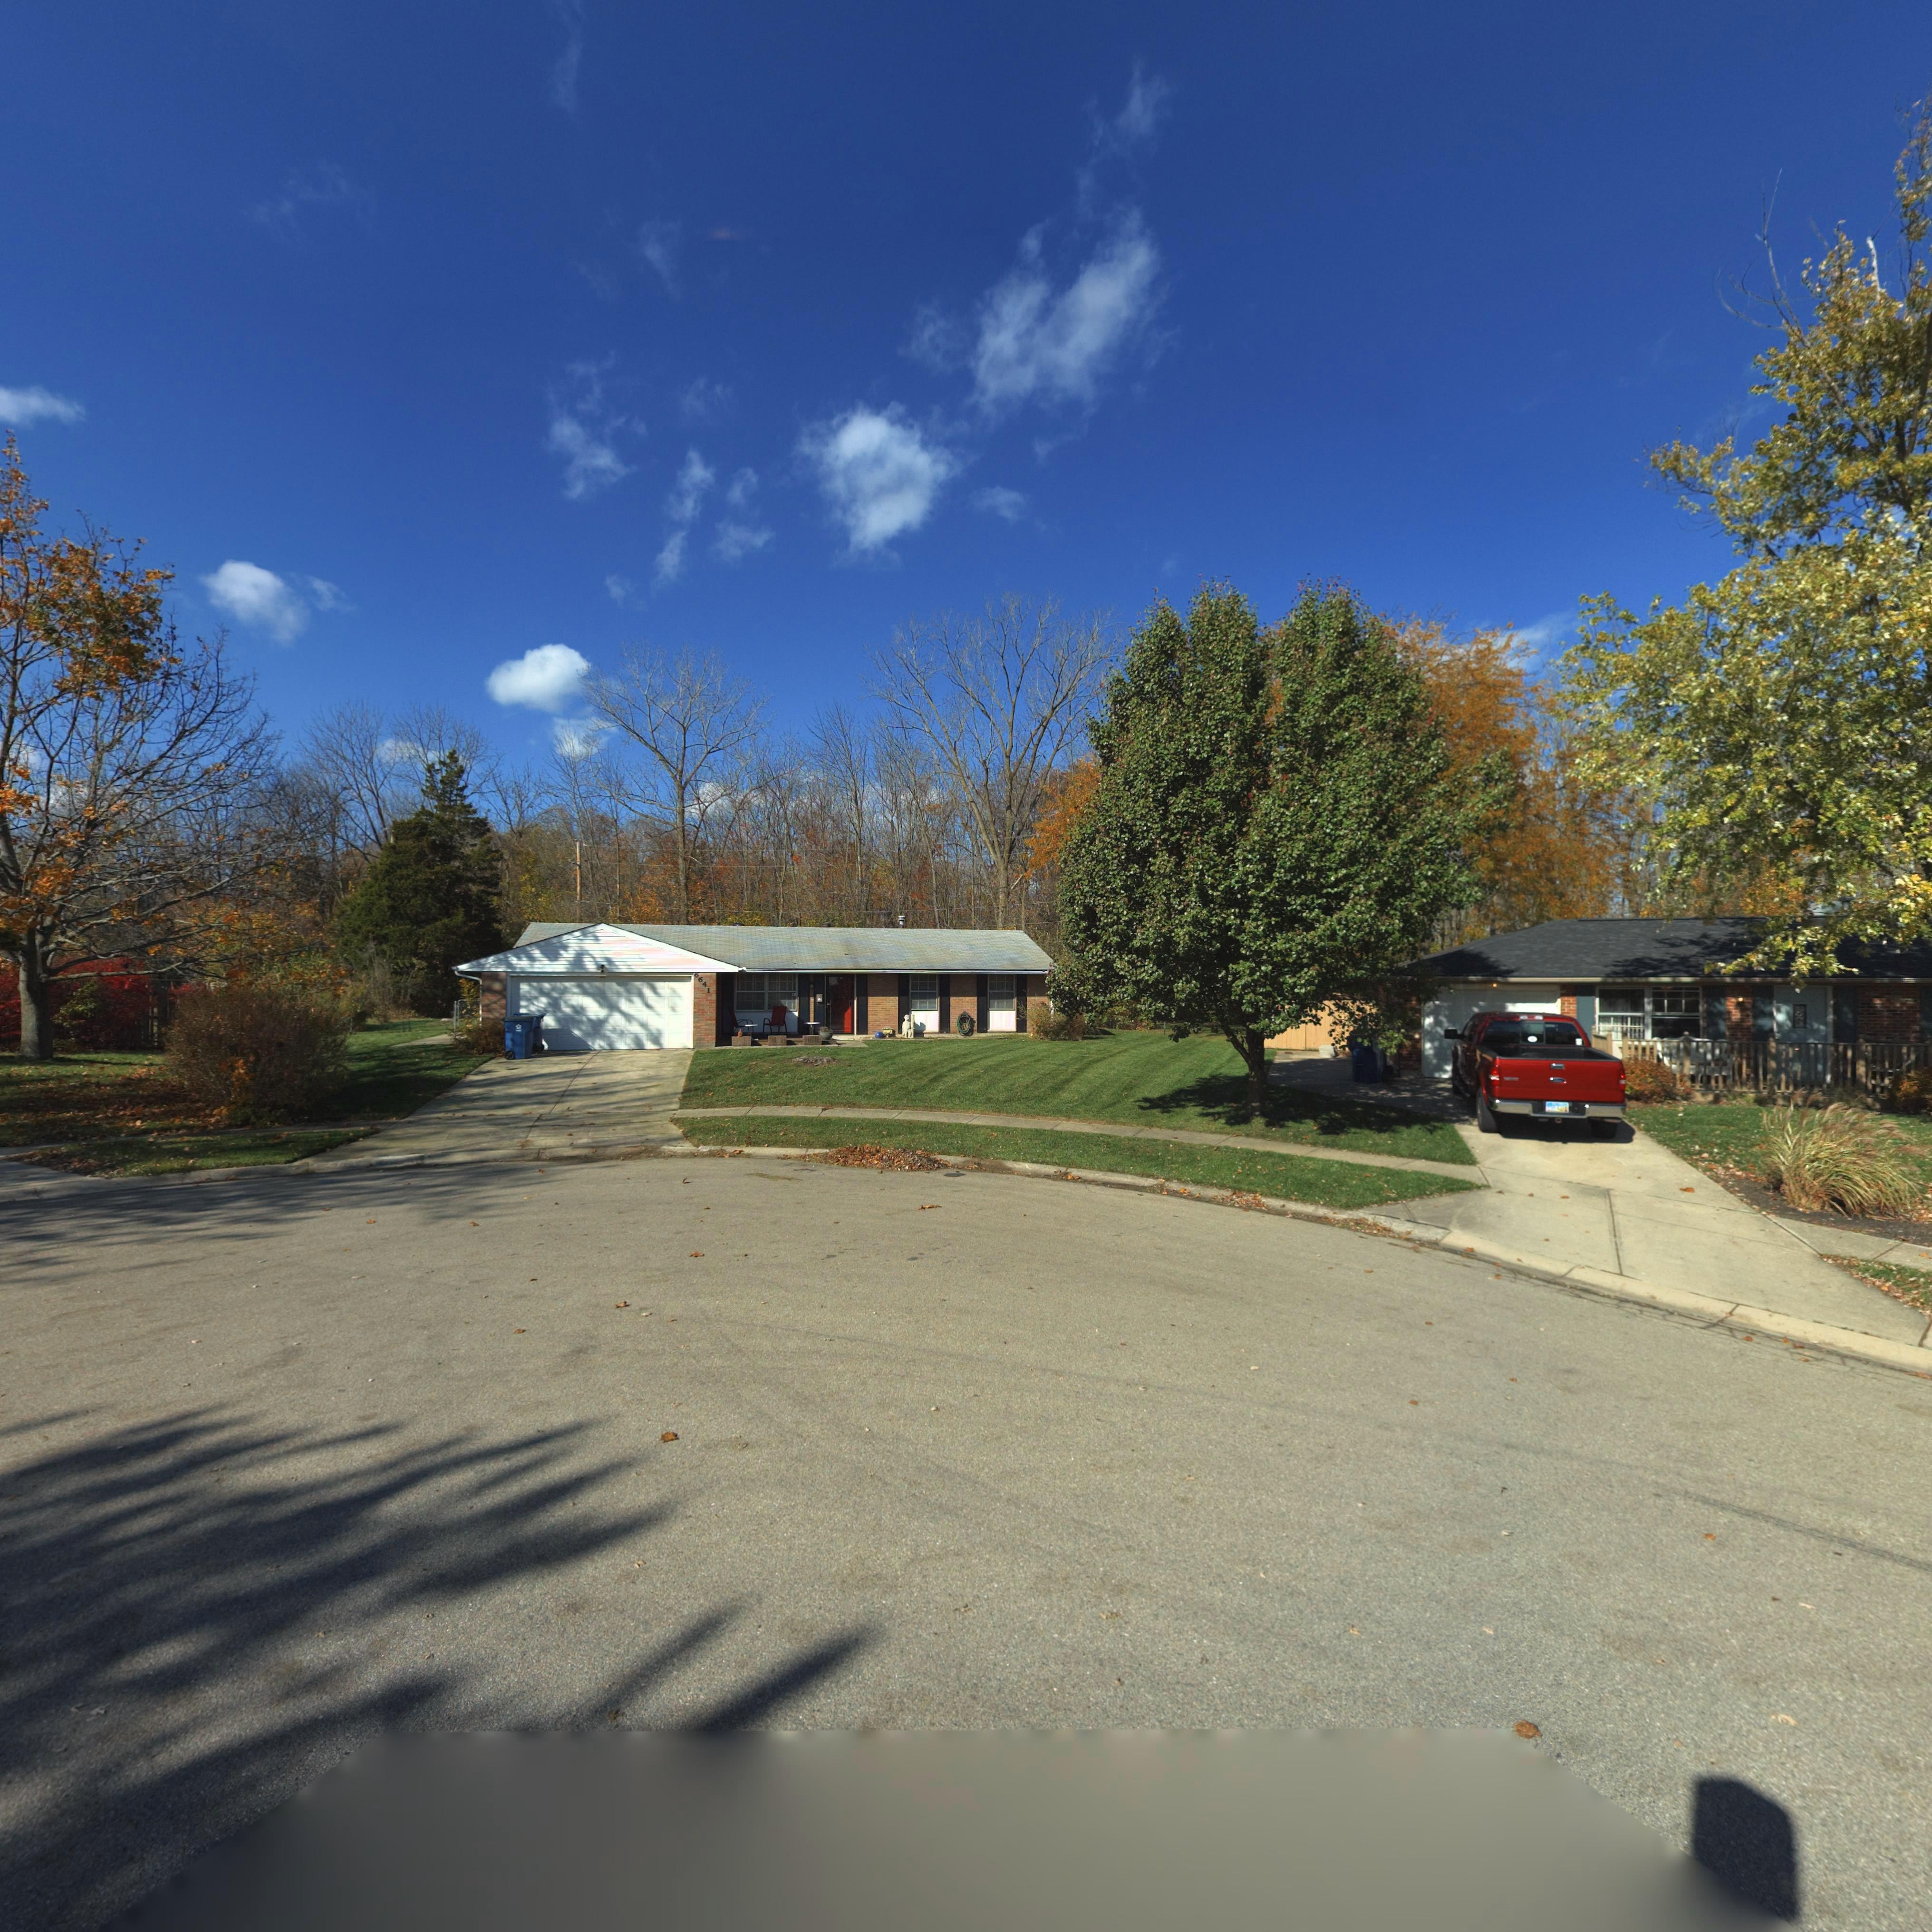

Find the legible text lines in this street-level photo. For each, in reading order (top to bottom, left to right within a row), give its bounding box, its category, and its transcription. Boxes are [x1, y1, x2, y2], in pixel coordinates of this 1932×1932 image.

[694, 972, 710, 994] StreetNumber: 6641